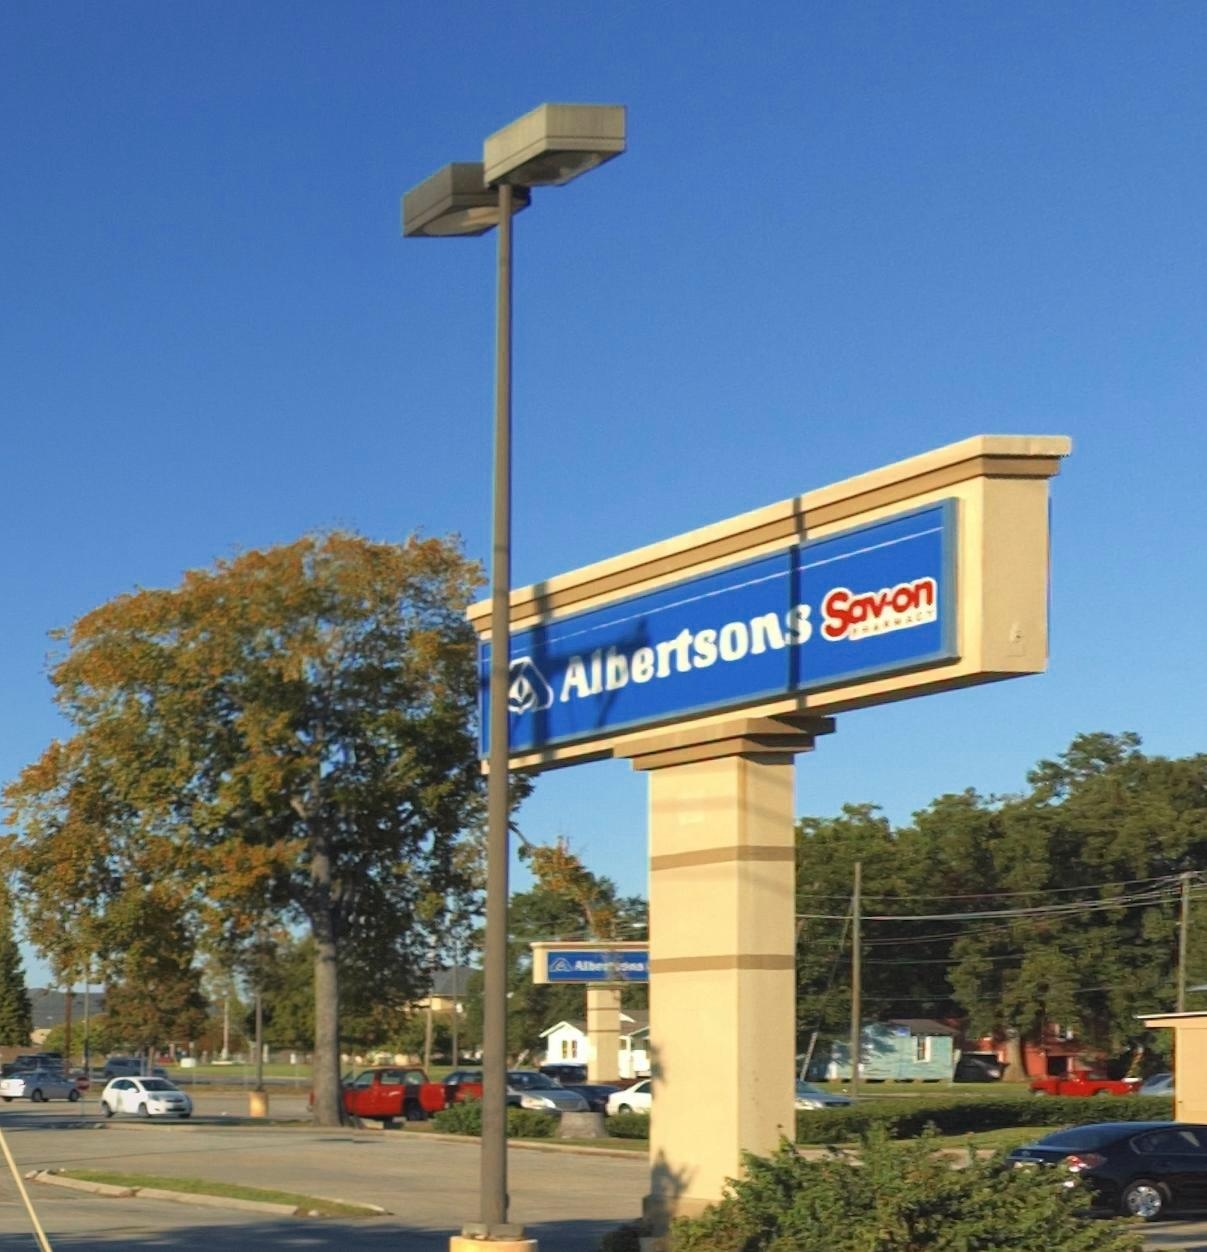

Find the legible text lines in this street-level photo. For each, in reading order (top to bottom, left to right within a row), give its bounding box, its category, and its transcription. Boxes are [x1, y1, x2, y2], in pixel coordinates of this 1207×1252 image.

[556, 600, 815, 706] BusinessName: Albertsons
[819, 572, 938, 644] None: Sav-on
[850, 606, 936, 638] None: PHARMACY
[573, 959, 646, 973] BusinessName: Albe***ons